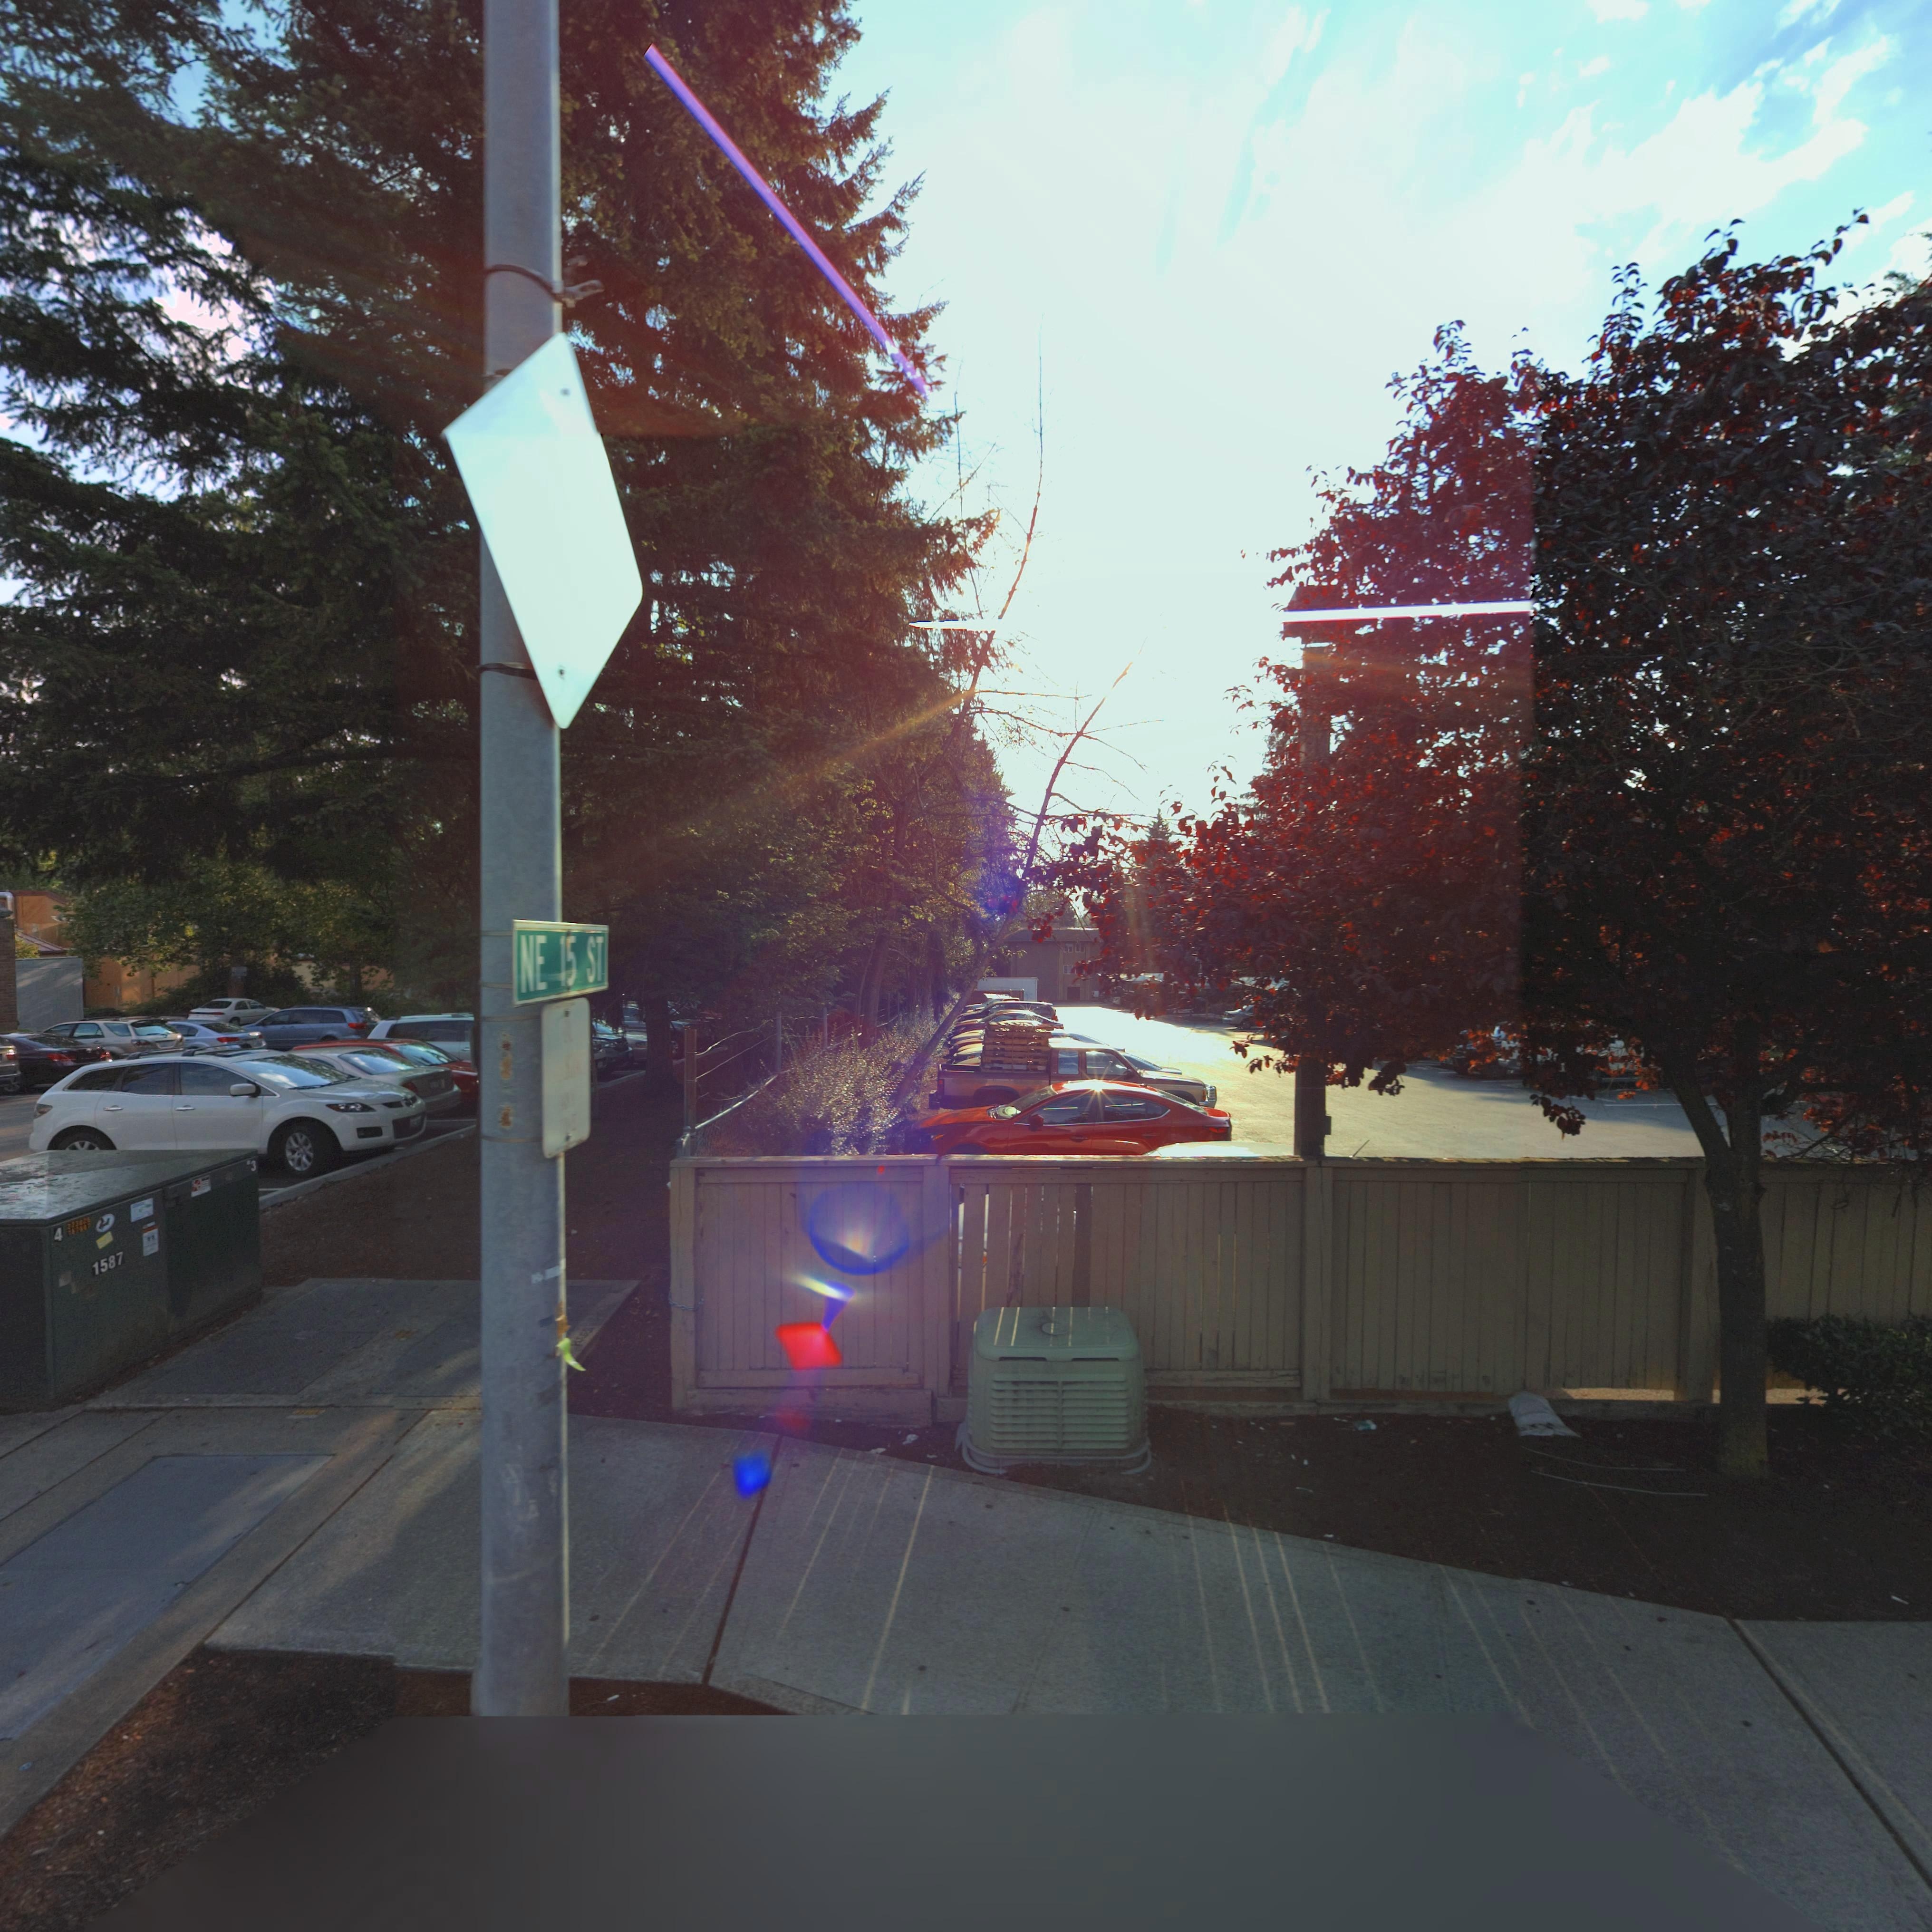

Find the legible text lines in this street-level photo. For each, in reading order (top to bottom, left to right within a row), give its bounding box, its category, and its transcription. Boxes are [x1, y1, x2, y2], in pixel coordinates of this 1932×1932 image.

[519, 934, 604, 996] StreetName: NE 15 ST